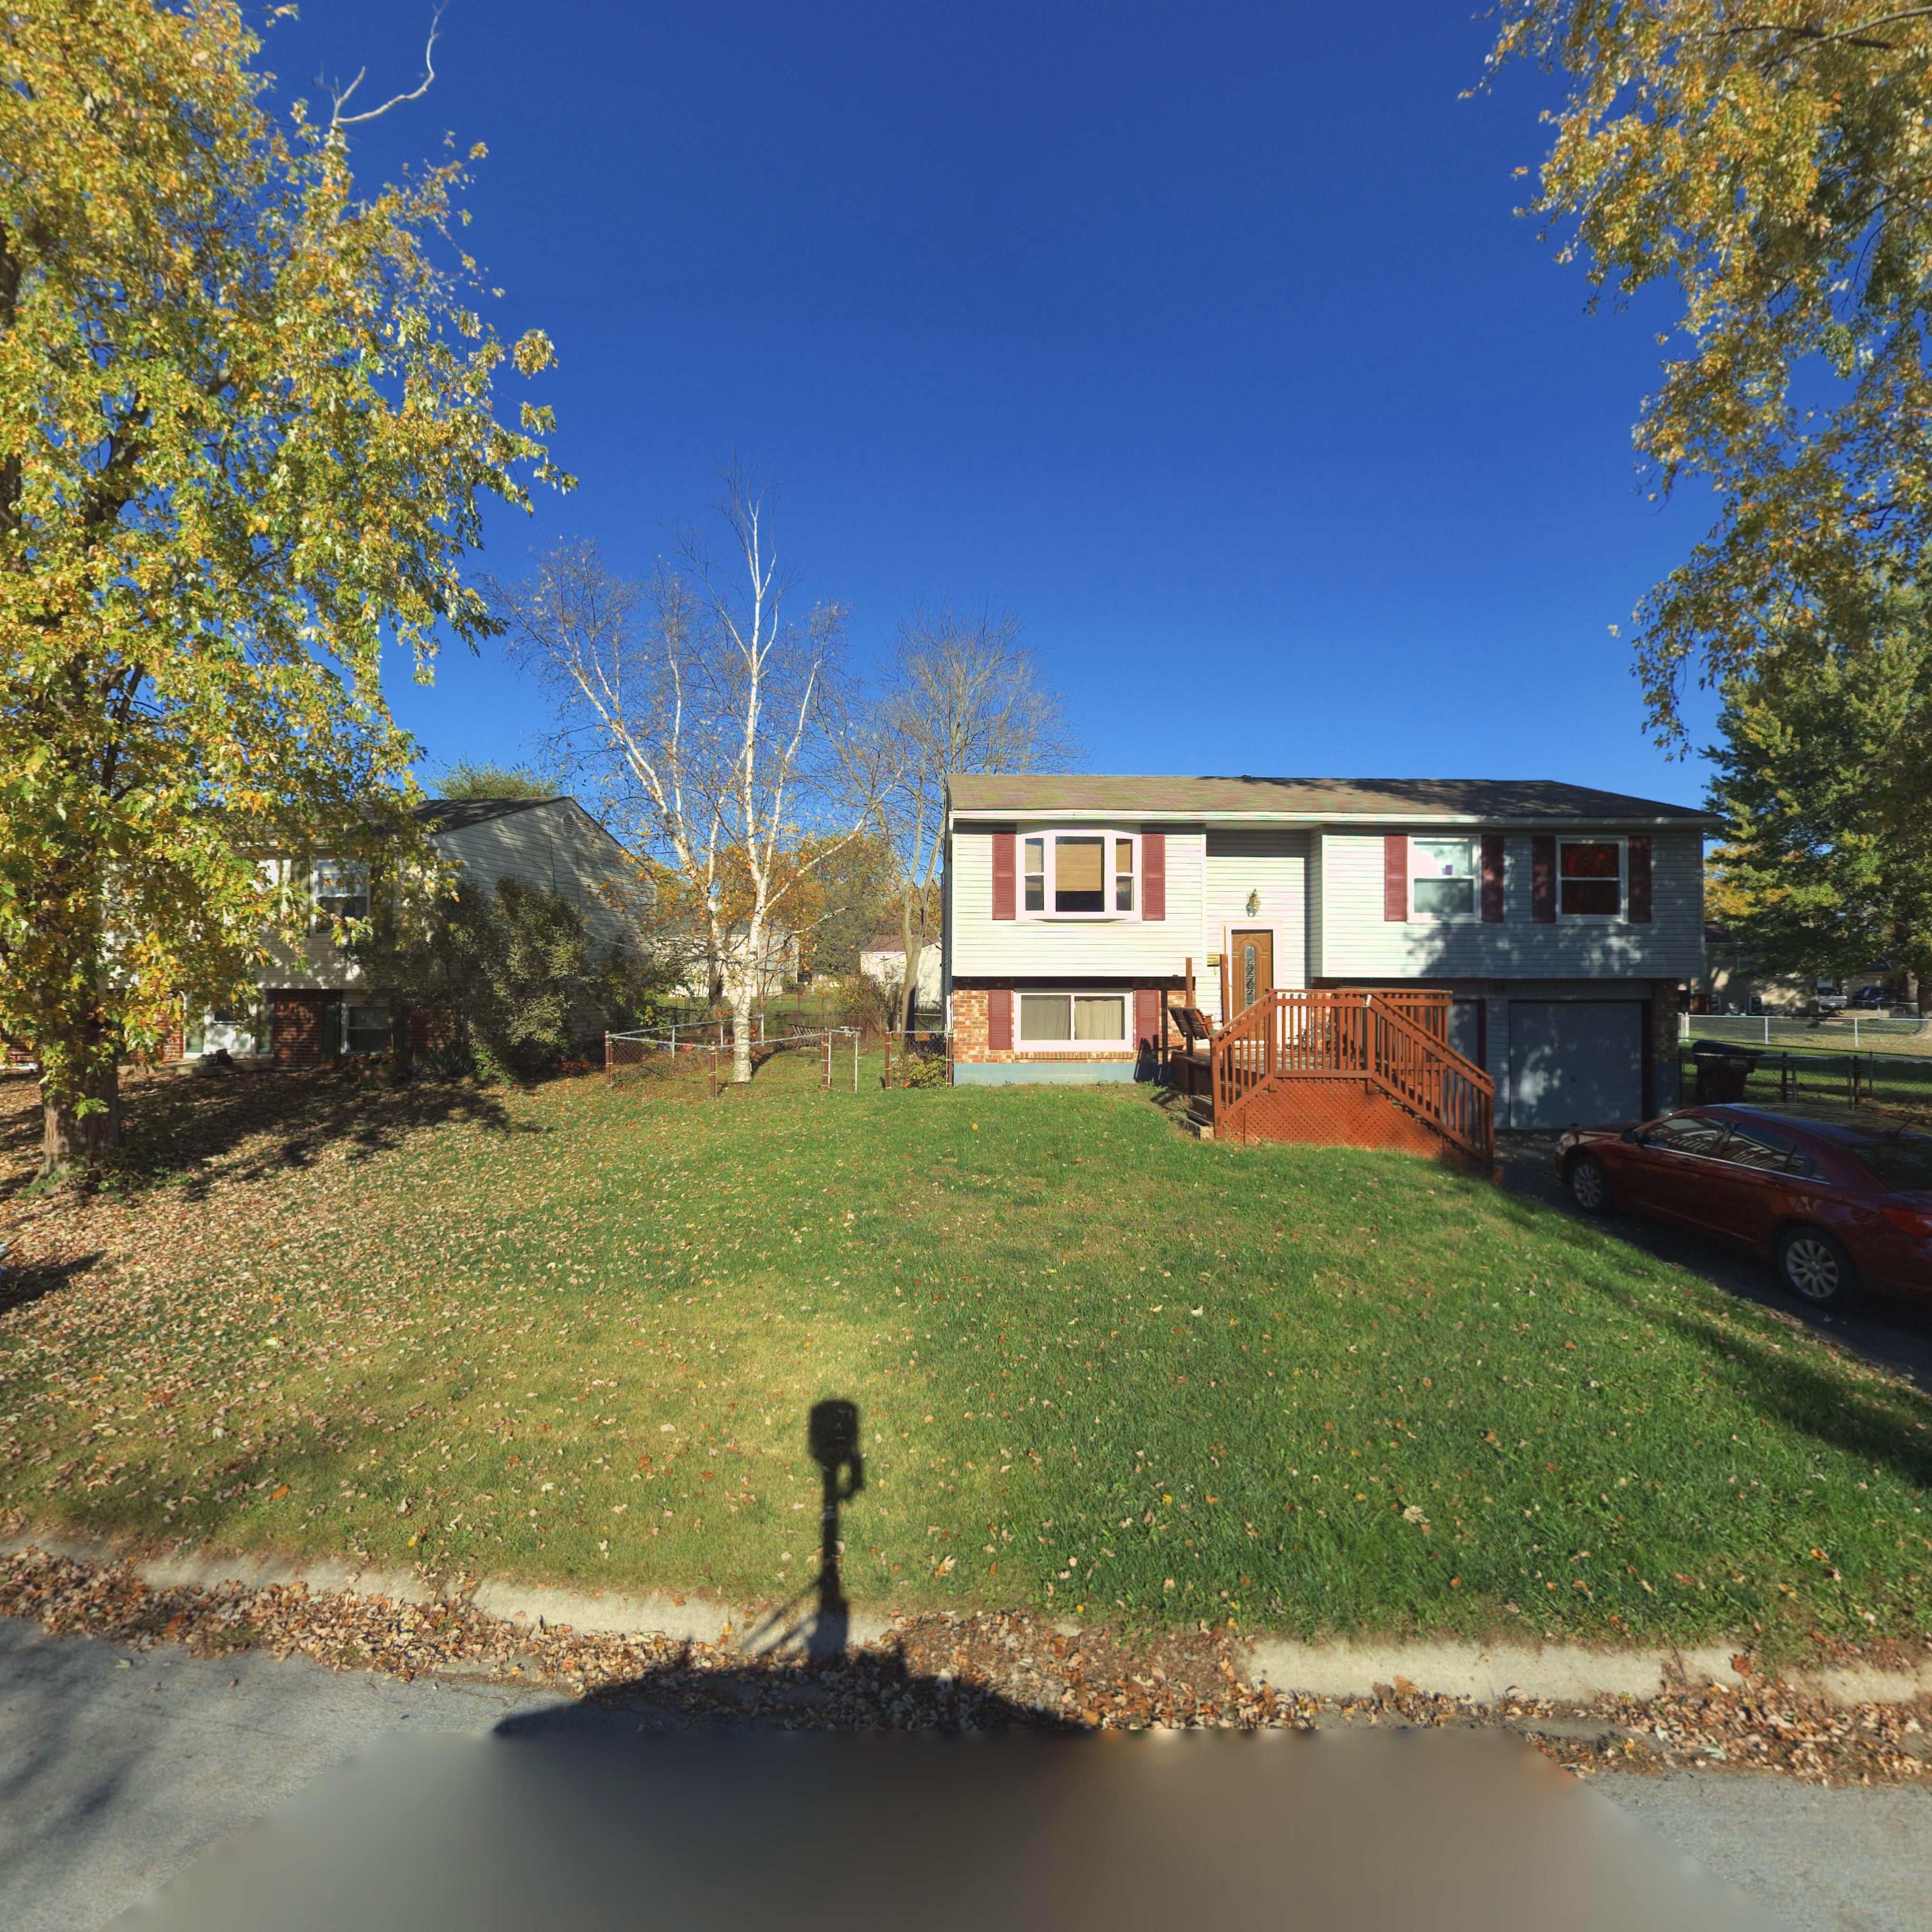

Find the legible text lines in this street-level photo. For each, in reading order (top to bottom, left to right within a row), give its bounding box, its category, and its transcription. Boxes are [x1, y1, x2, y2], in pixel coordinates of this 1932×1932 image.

[1487, 983, 1506, 993] StreetNumber: 102